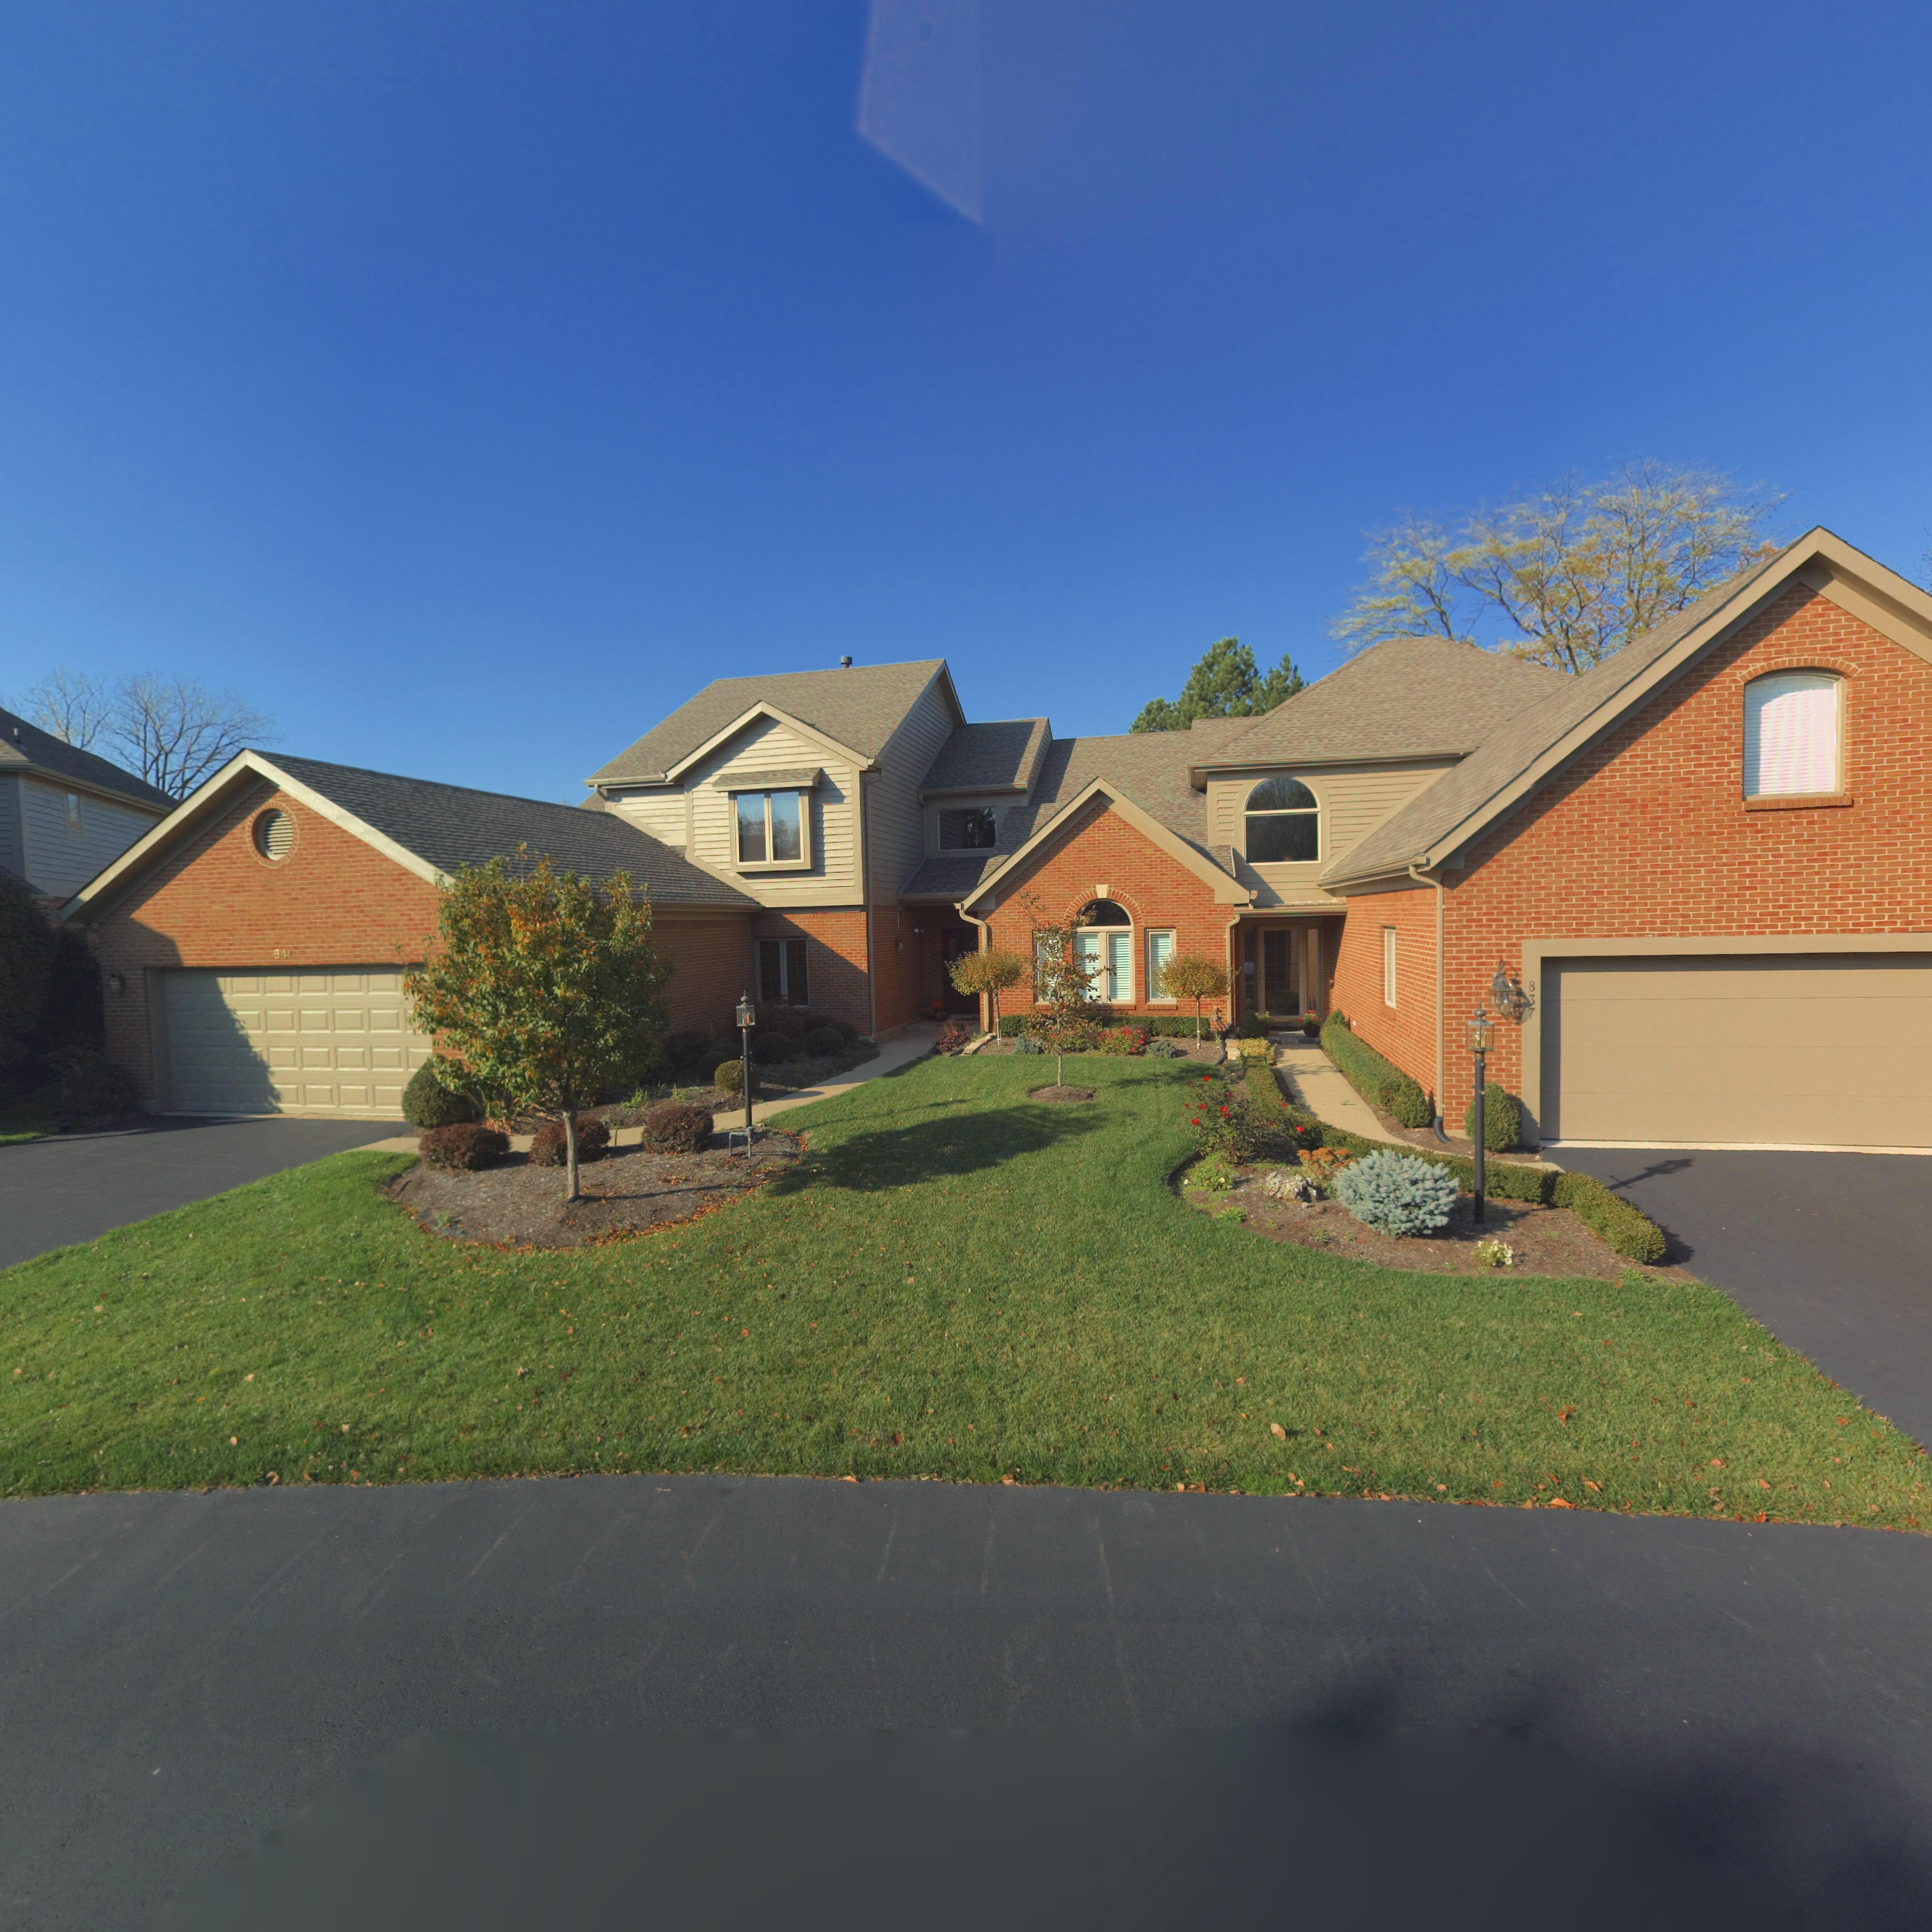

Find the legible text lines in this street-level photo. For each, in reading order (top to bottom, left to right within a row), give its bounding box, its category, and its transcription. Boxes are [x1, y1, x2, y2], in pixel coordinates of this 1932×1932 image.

[273, 947, 292, 960] StreetNumber: 841
[1527, 979, 1536, 1020] StreetNumber: 837